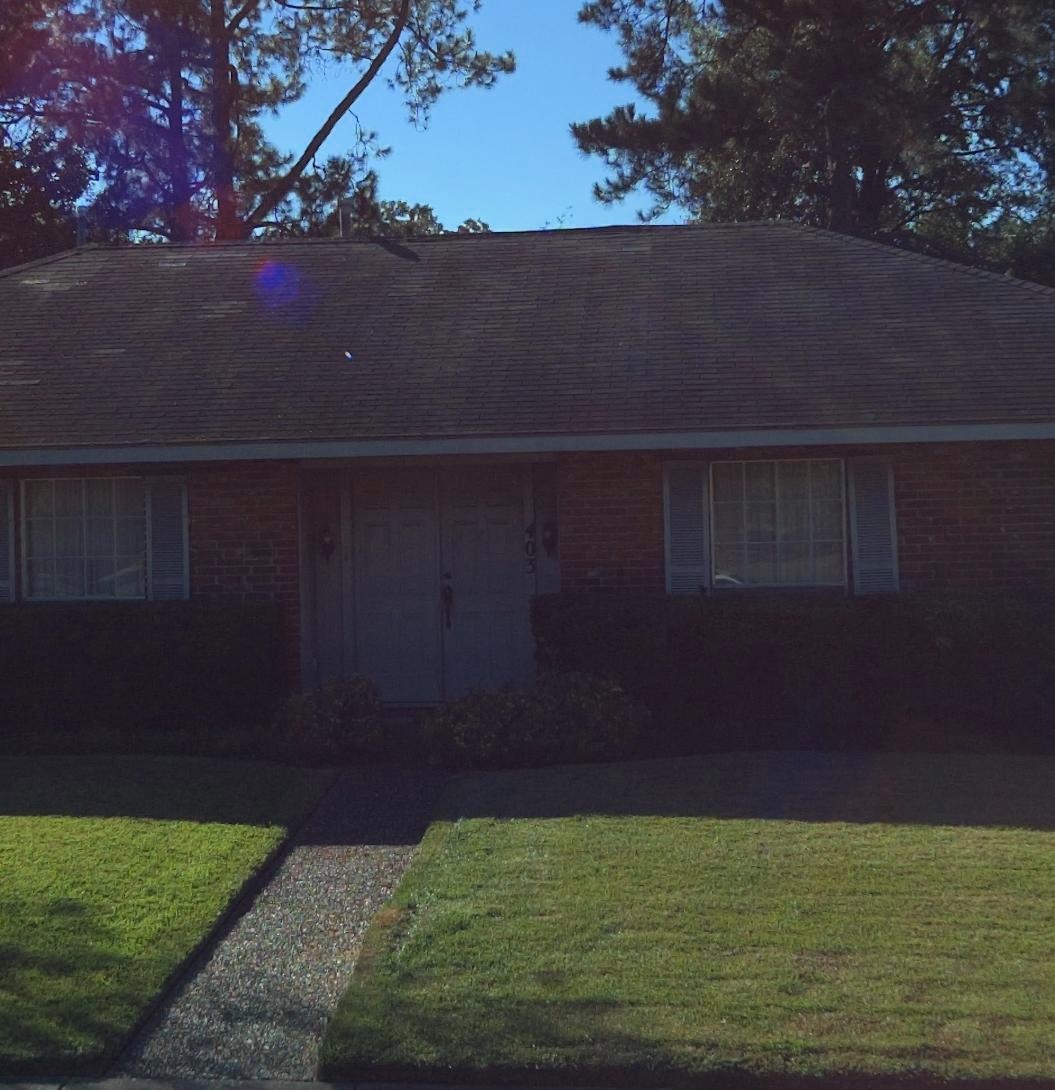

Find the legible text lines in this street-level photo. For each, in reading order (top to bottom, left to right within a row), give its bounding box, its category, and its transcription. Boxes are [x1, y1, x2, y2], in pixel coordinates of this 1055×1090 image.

[522, 519, 538, 576] StreetNumber: 403